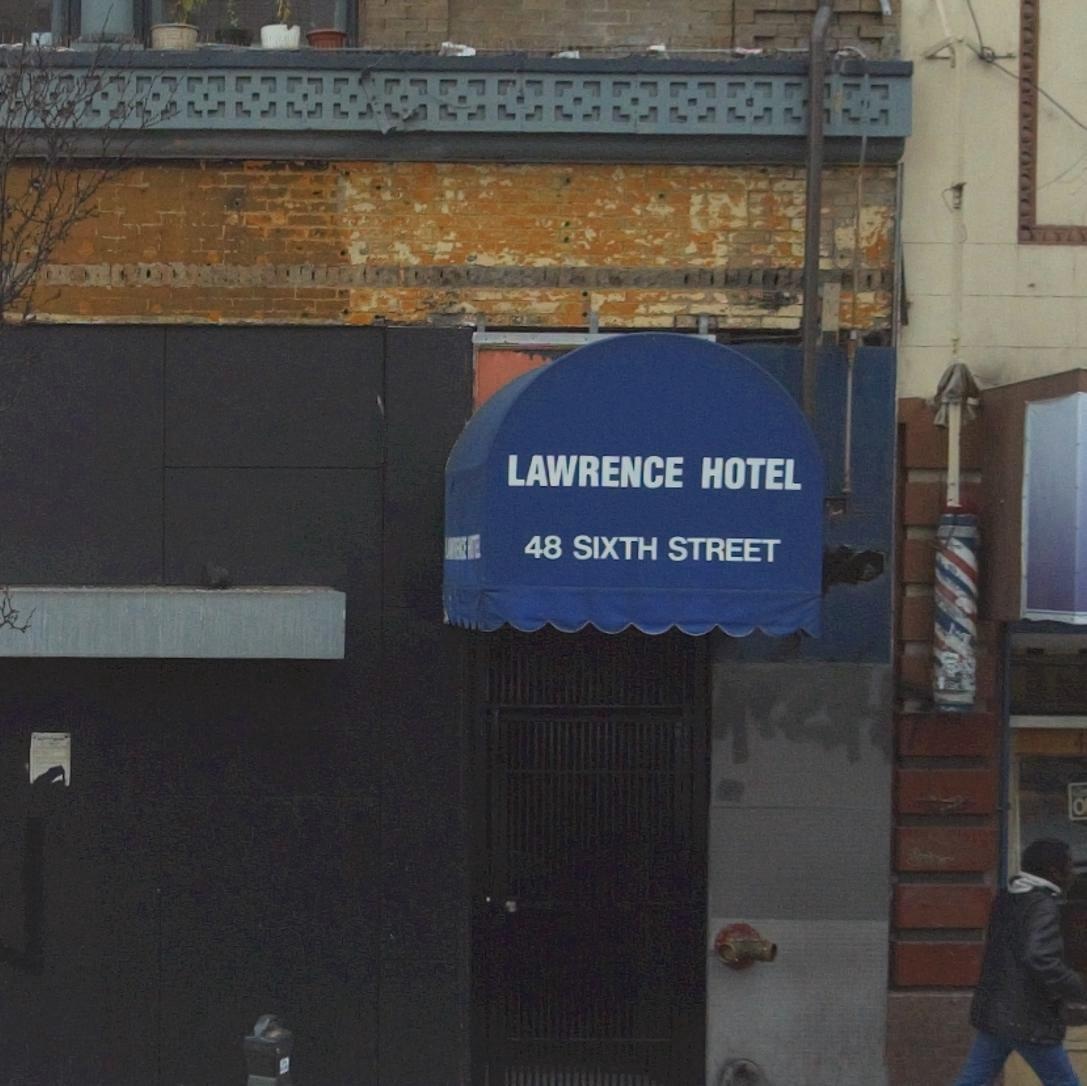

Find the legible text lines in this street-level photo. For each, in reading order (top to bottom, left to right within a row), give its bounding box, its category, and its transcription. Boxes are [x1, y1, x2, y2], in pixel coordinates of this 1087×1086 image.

[505, 451, 804, 493] BusinessName: LAWRENCE HOTEL
[521, 533, 565, 562] StreetNumber: 48
[571, 533, 785, 565] StreetName: SIXTH STREET
[1070, 795, 1087, 818] None: O